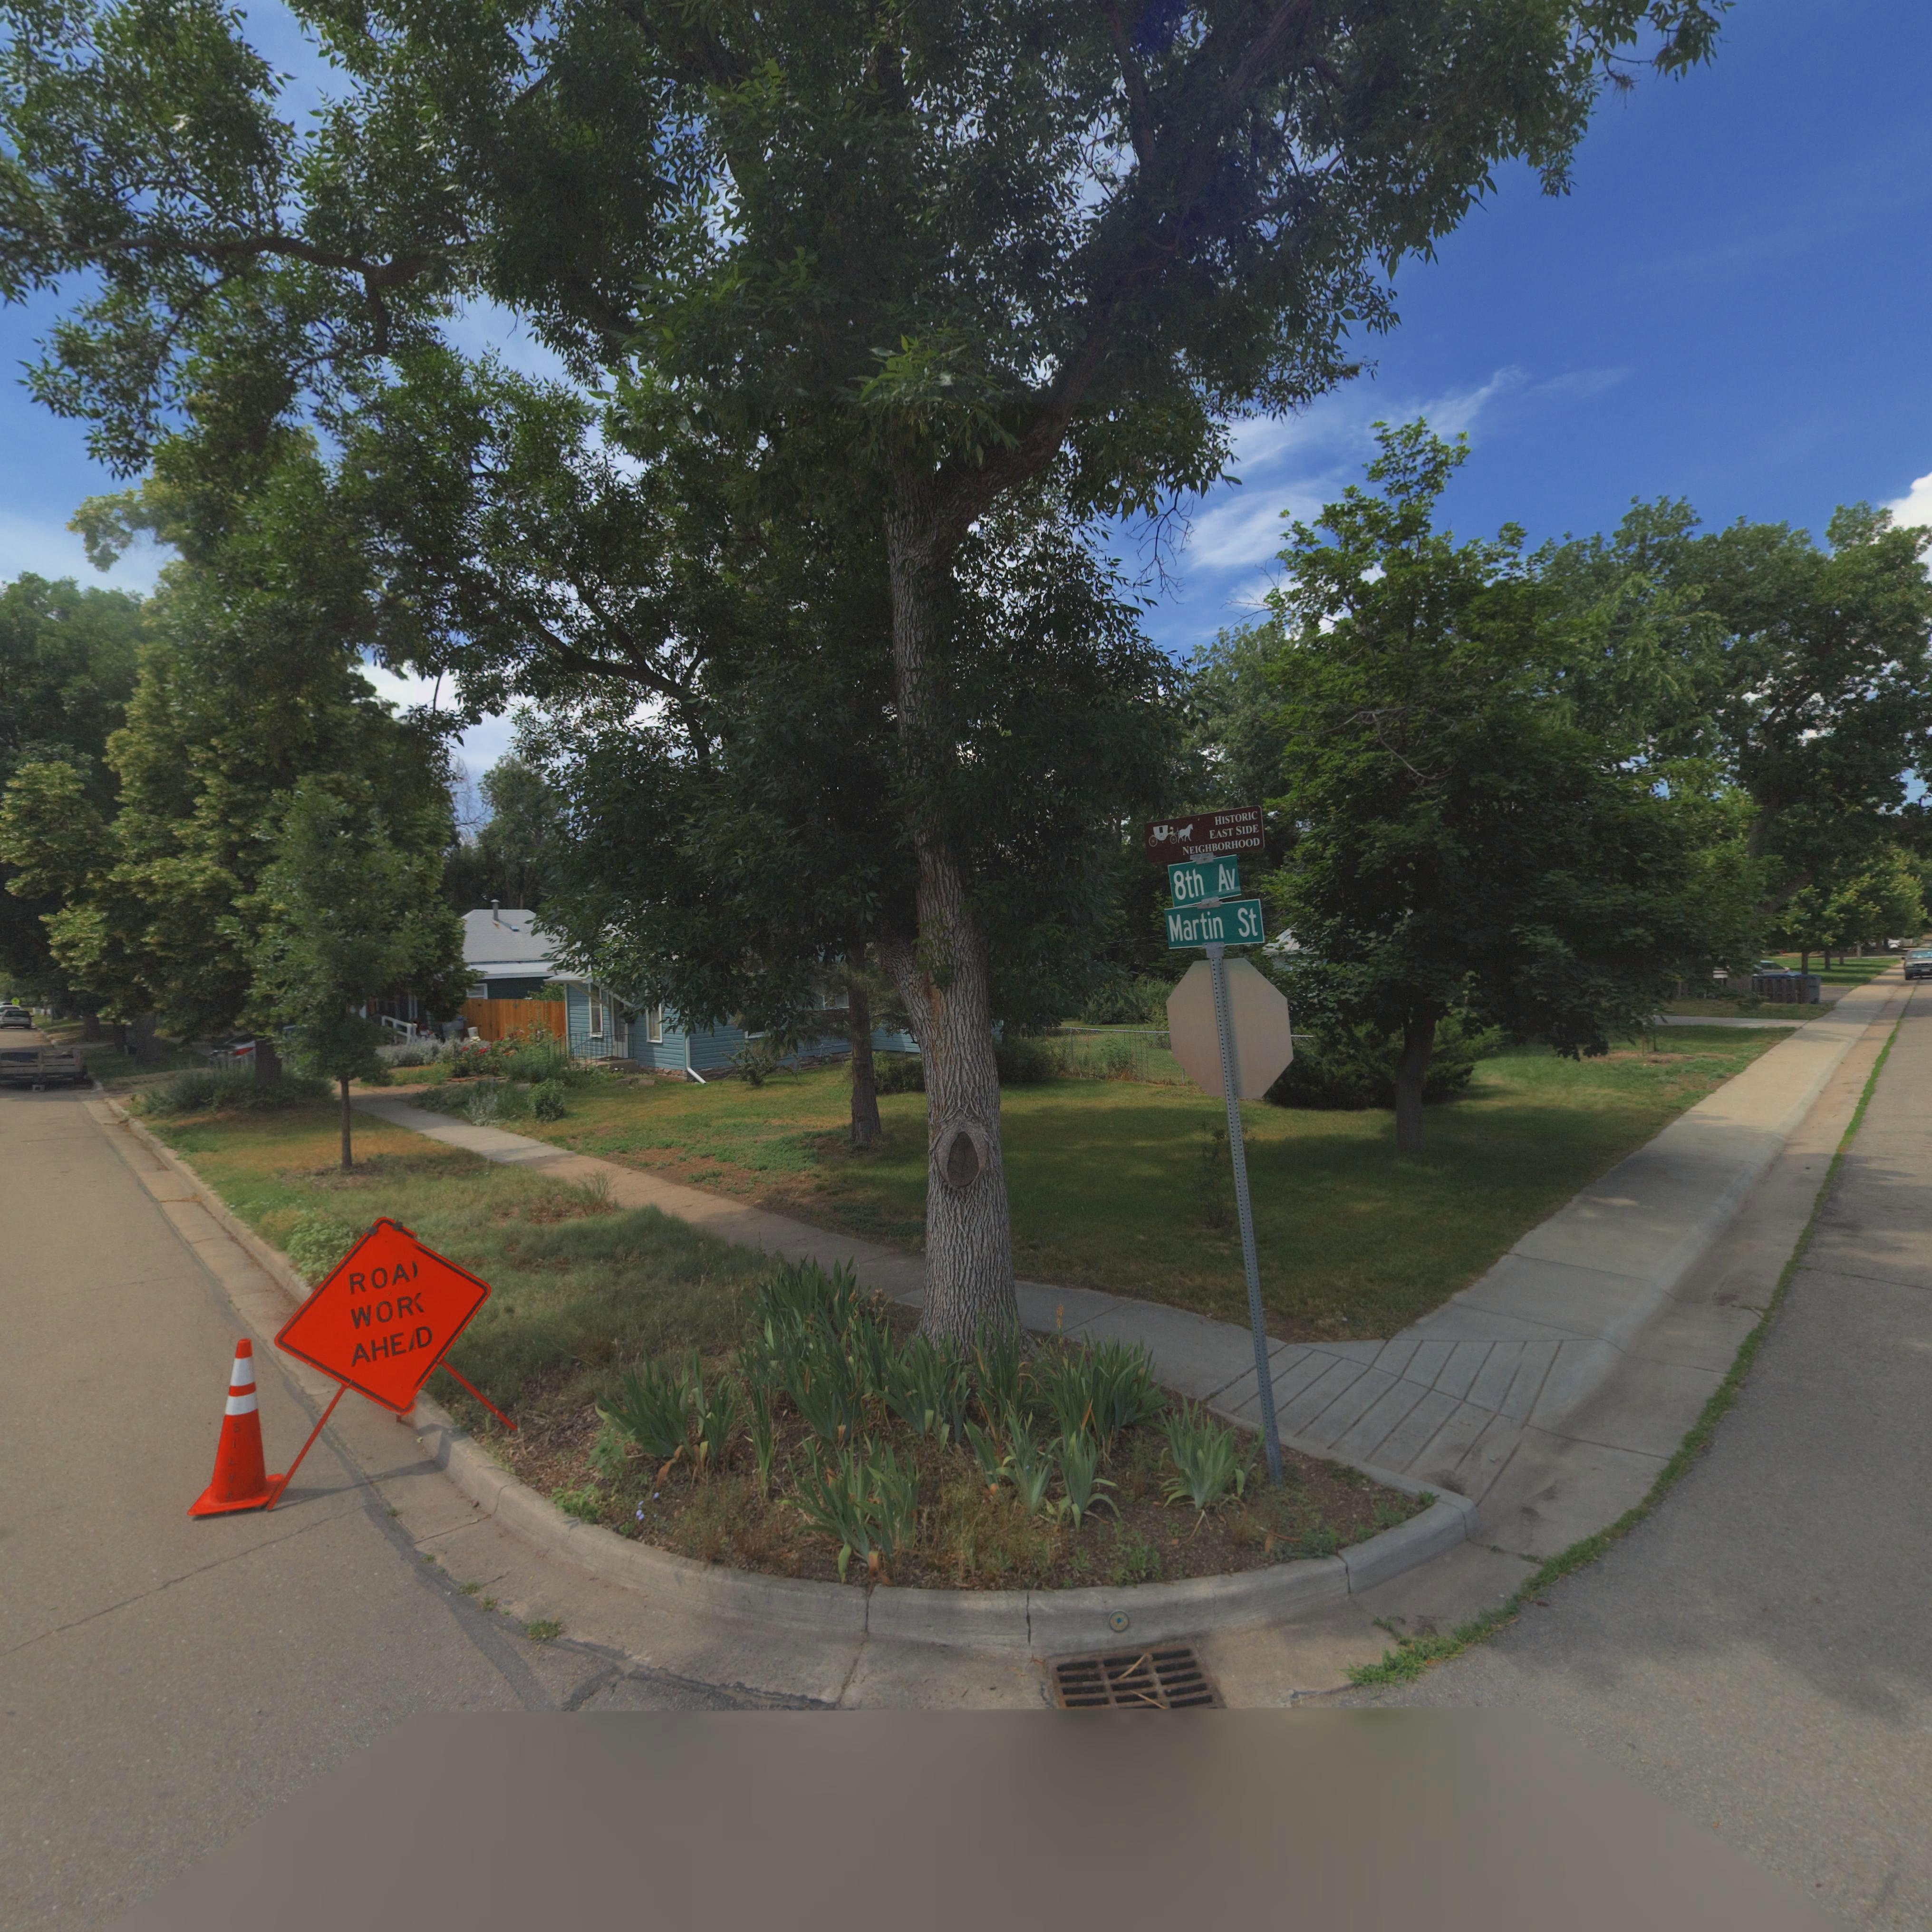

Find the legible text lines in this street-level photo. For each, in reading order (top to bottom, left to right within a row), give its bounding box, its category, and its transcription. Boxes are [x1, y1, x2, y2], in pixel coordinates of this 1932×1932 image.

[1173, 863, 1240, 900] StreetName: 8th Av
[1167, 907, 1259, 943] StreetName: Martin St